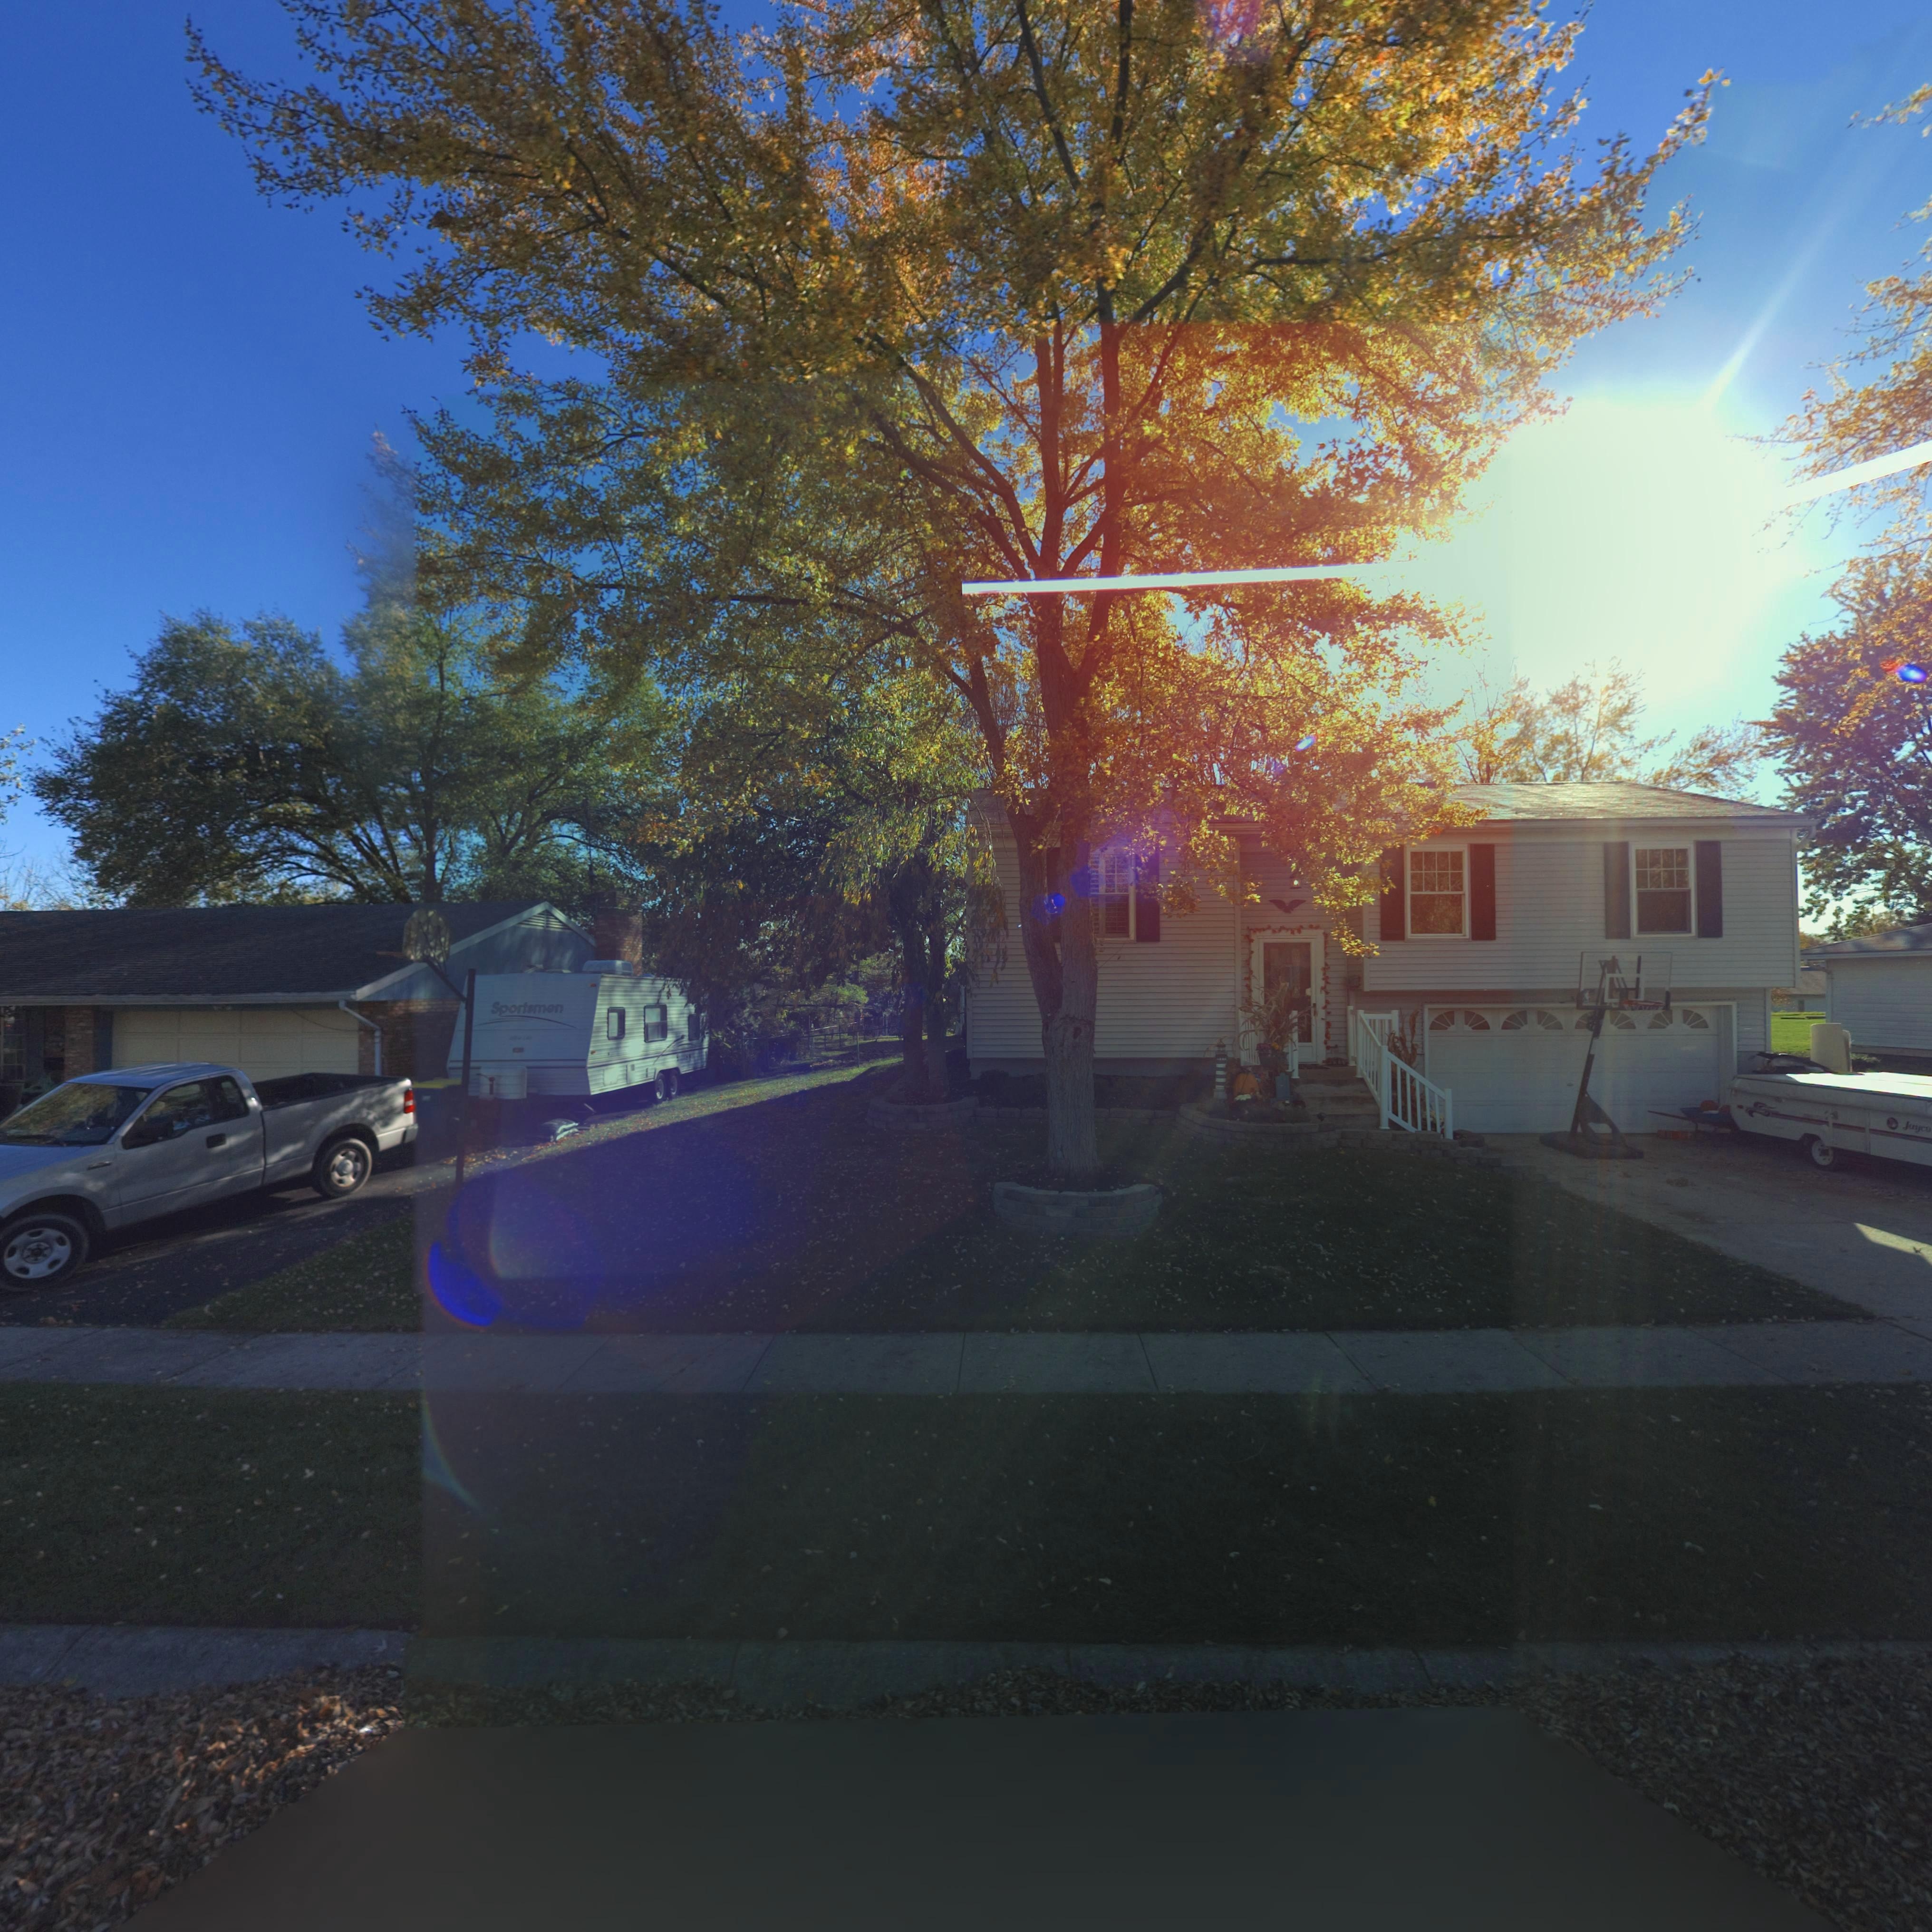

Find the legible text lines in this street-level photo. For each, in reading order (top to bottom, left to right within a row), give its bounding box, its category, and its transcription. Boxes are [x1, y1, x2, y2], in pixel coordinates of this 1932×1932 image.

[1570, 995, 1575, 1002] StreetNumber: 5